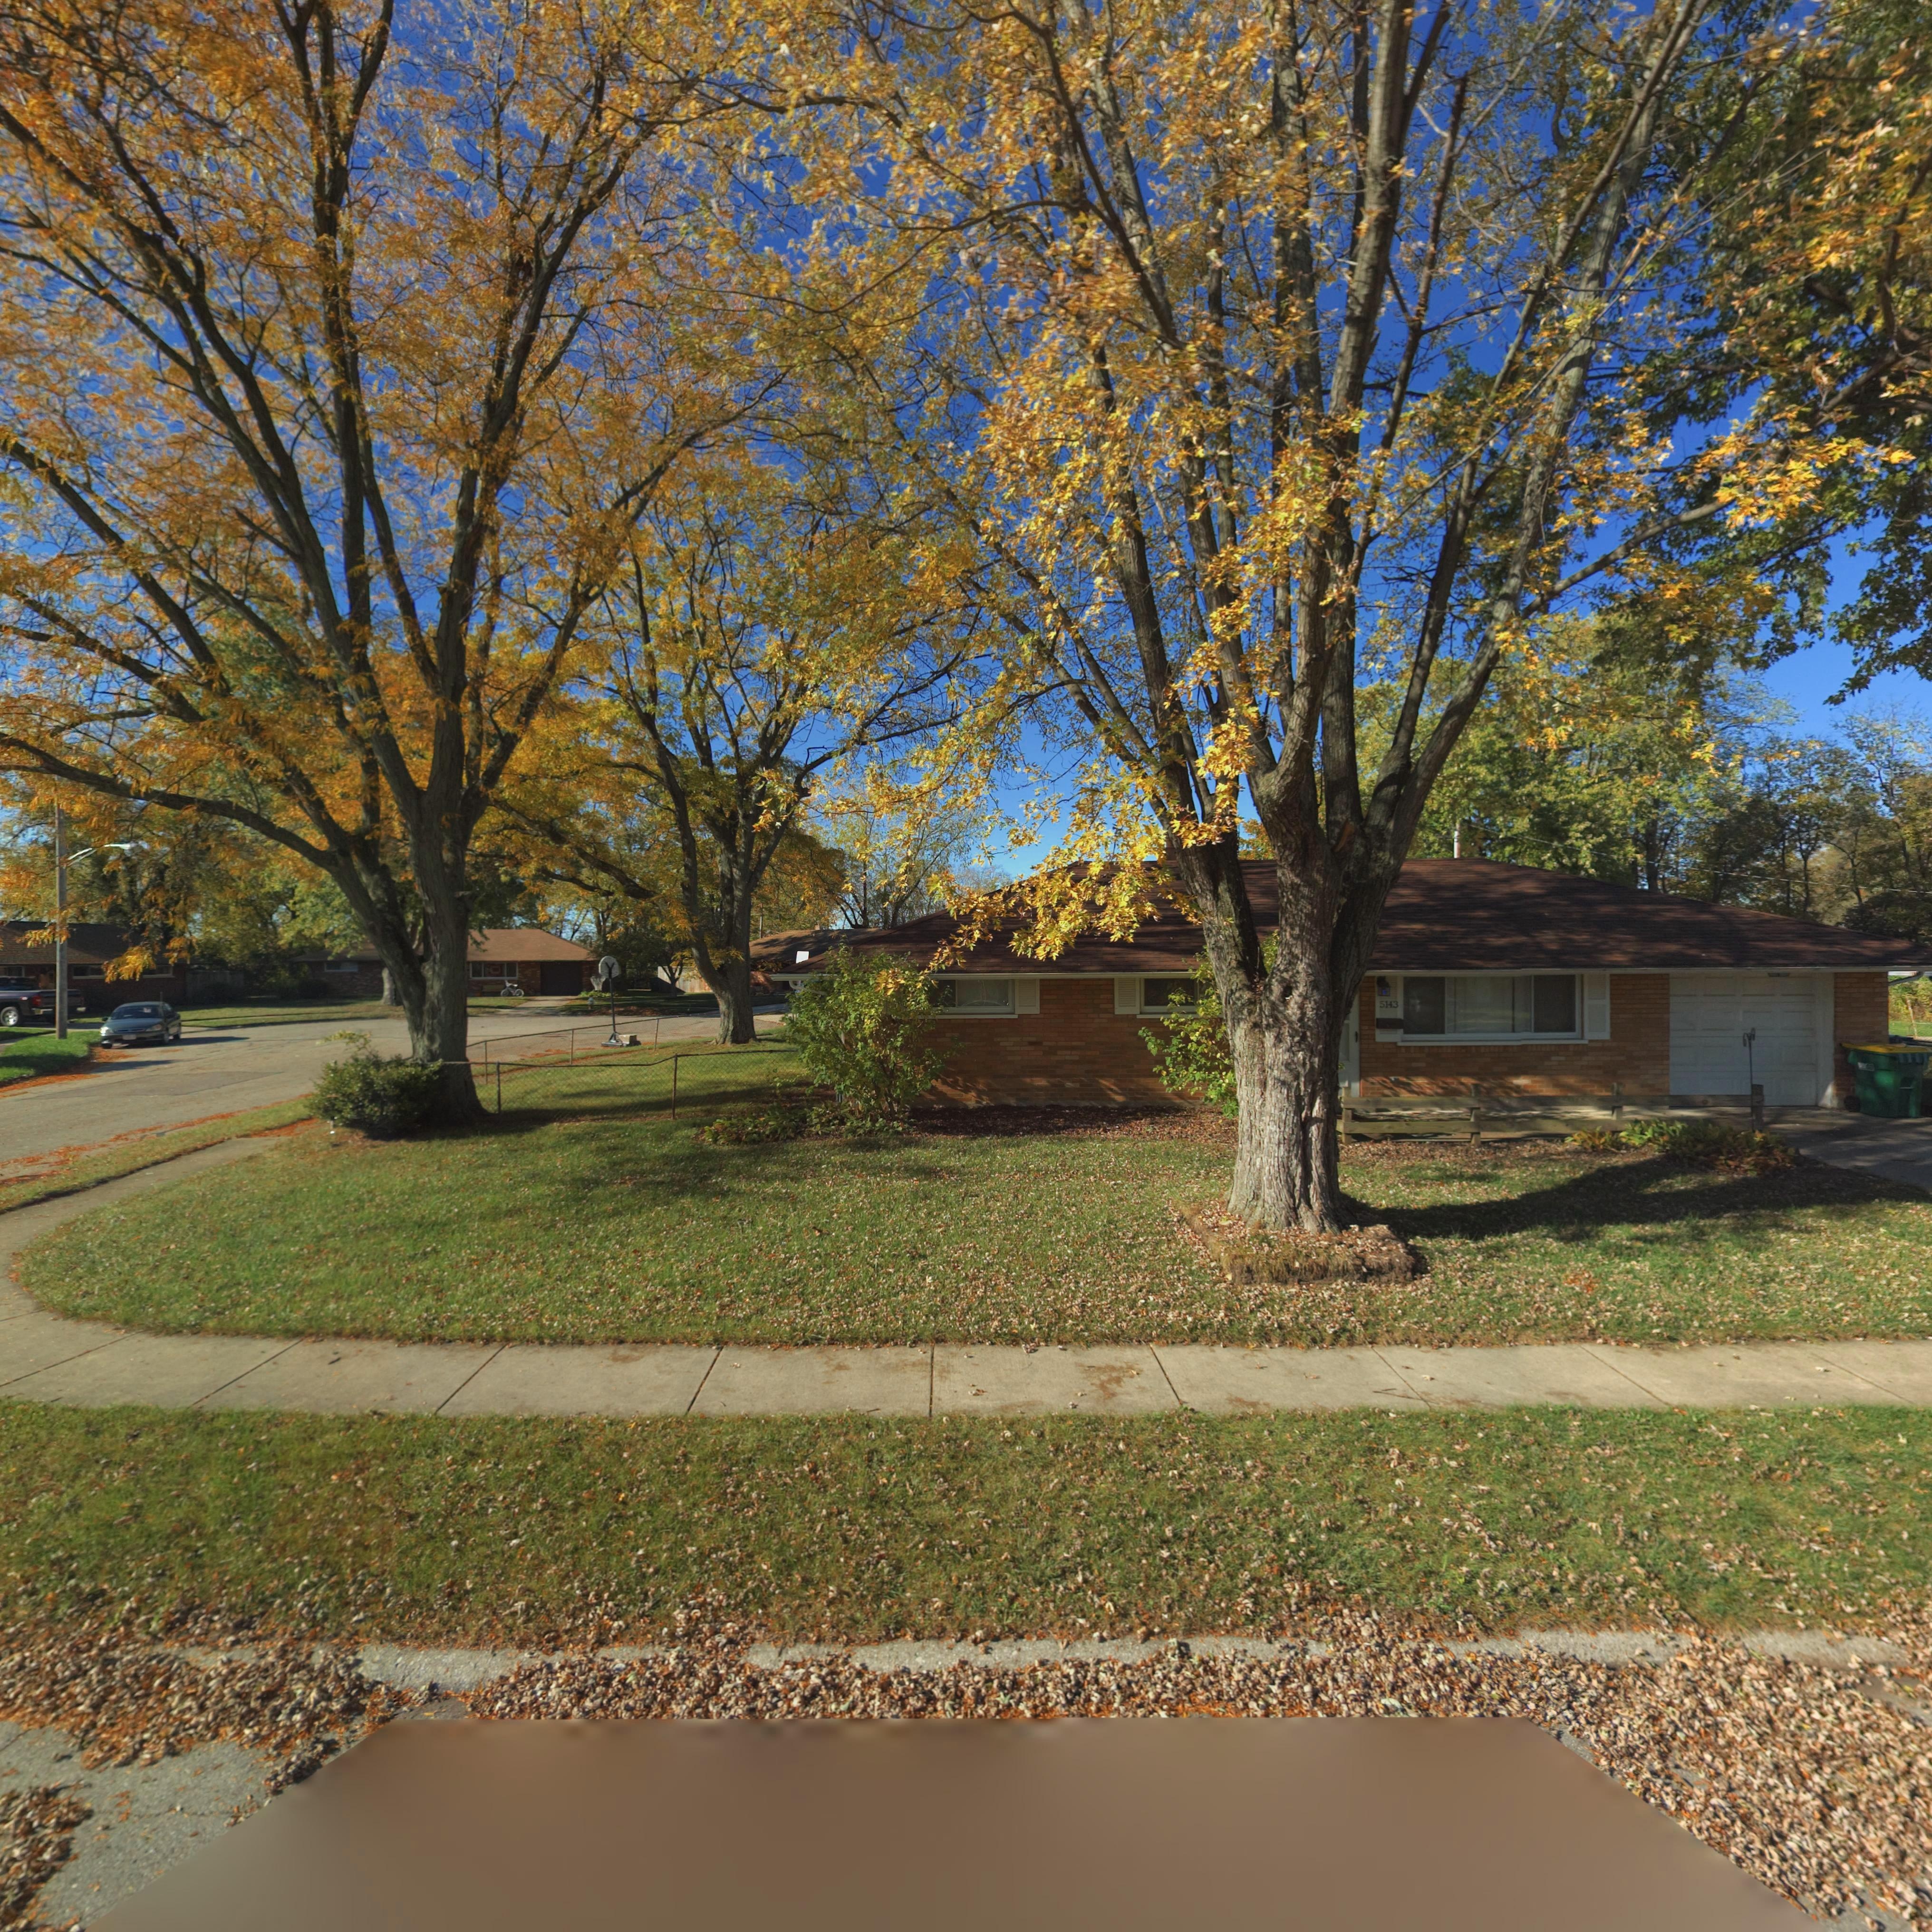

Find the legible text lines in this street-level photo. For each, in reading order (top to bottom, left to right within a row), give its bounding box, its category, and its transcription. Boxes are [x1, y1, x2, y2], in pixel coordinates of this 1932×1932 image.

[1378, 1000, 1399, 1008] StreetNumber: 5143